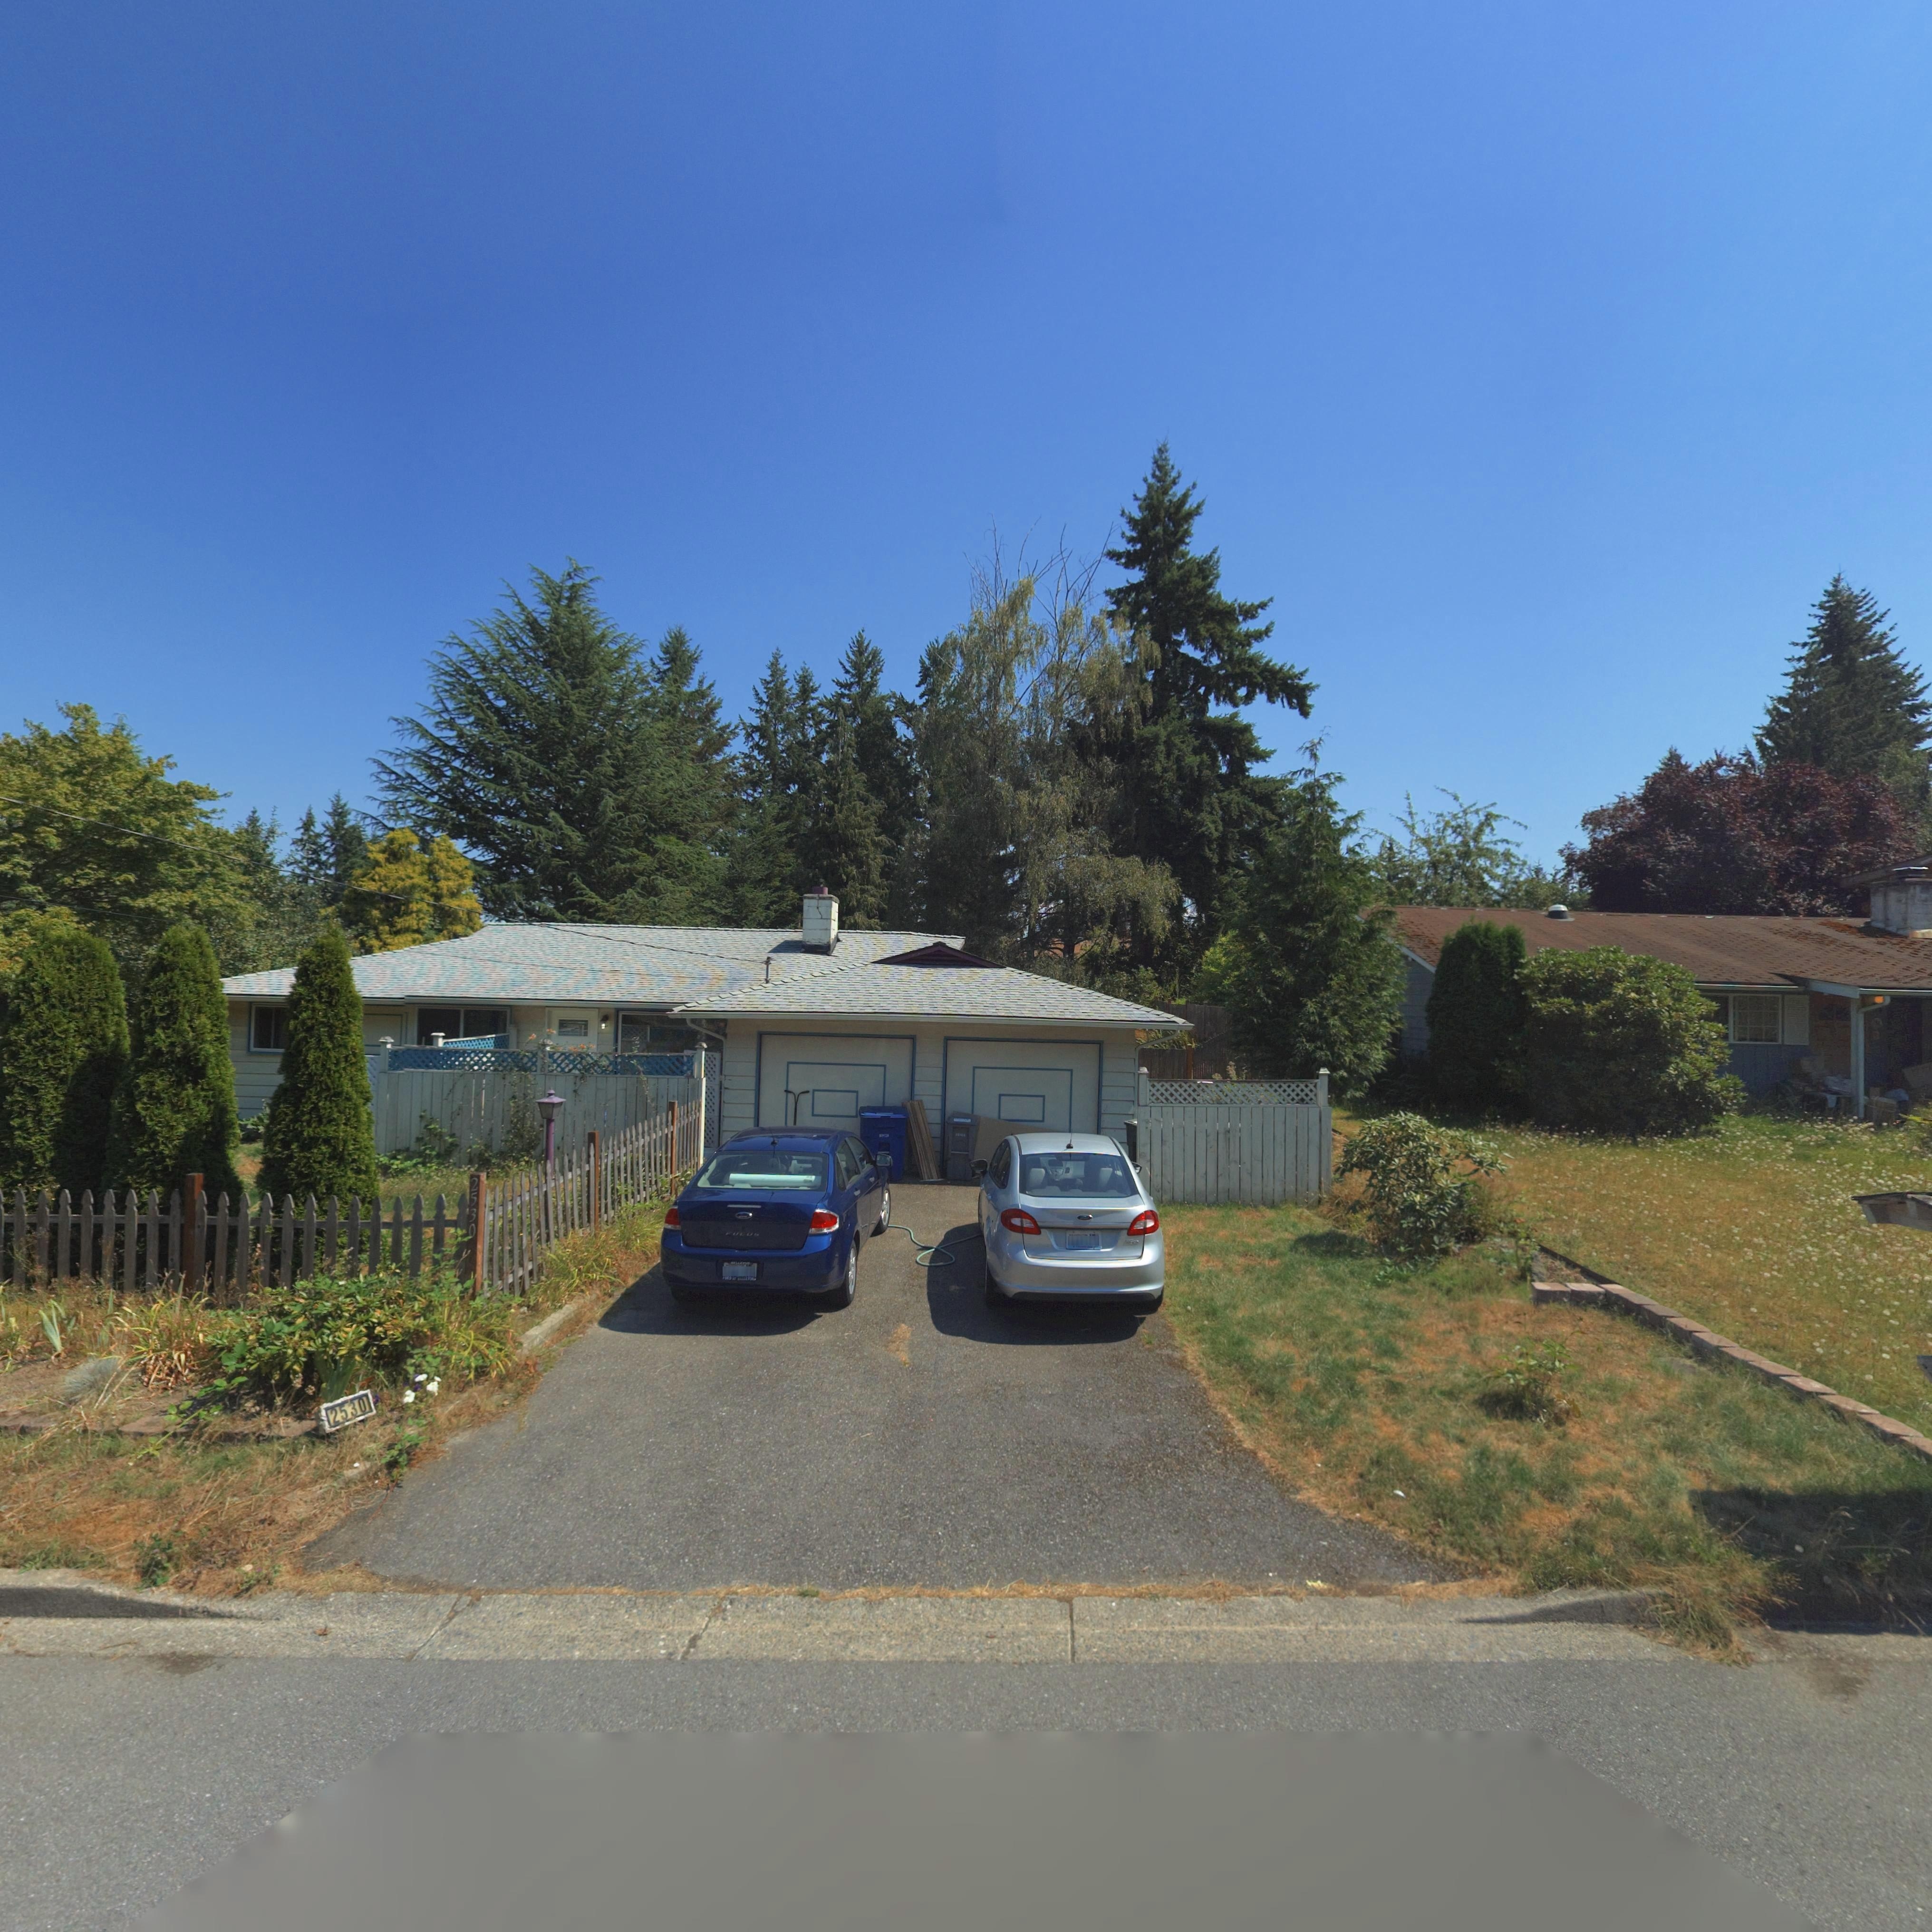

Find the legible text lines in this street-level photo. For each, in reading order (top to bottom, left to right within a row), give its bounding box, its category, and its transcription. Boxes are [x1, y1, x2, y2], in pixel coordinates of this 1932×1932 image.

[329, 1397, 368, 1425] StreetNumber: 2530